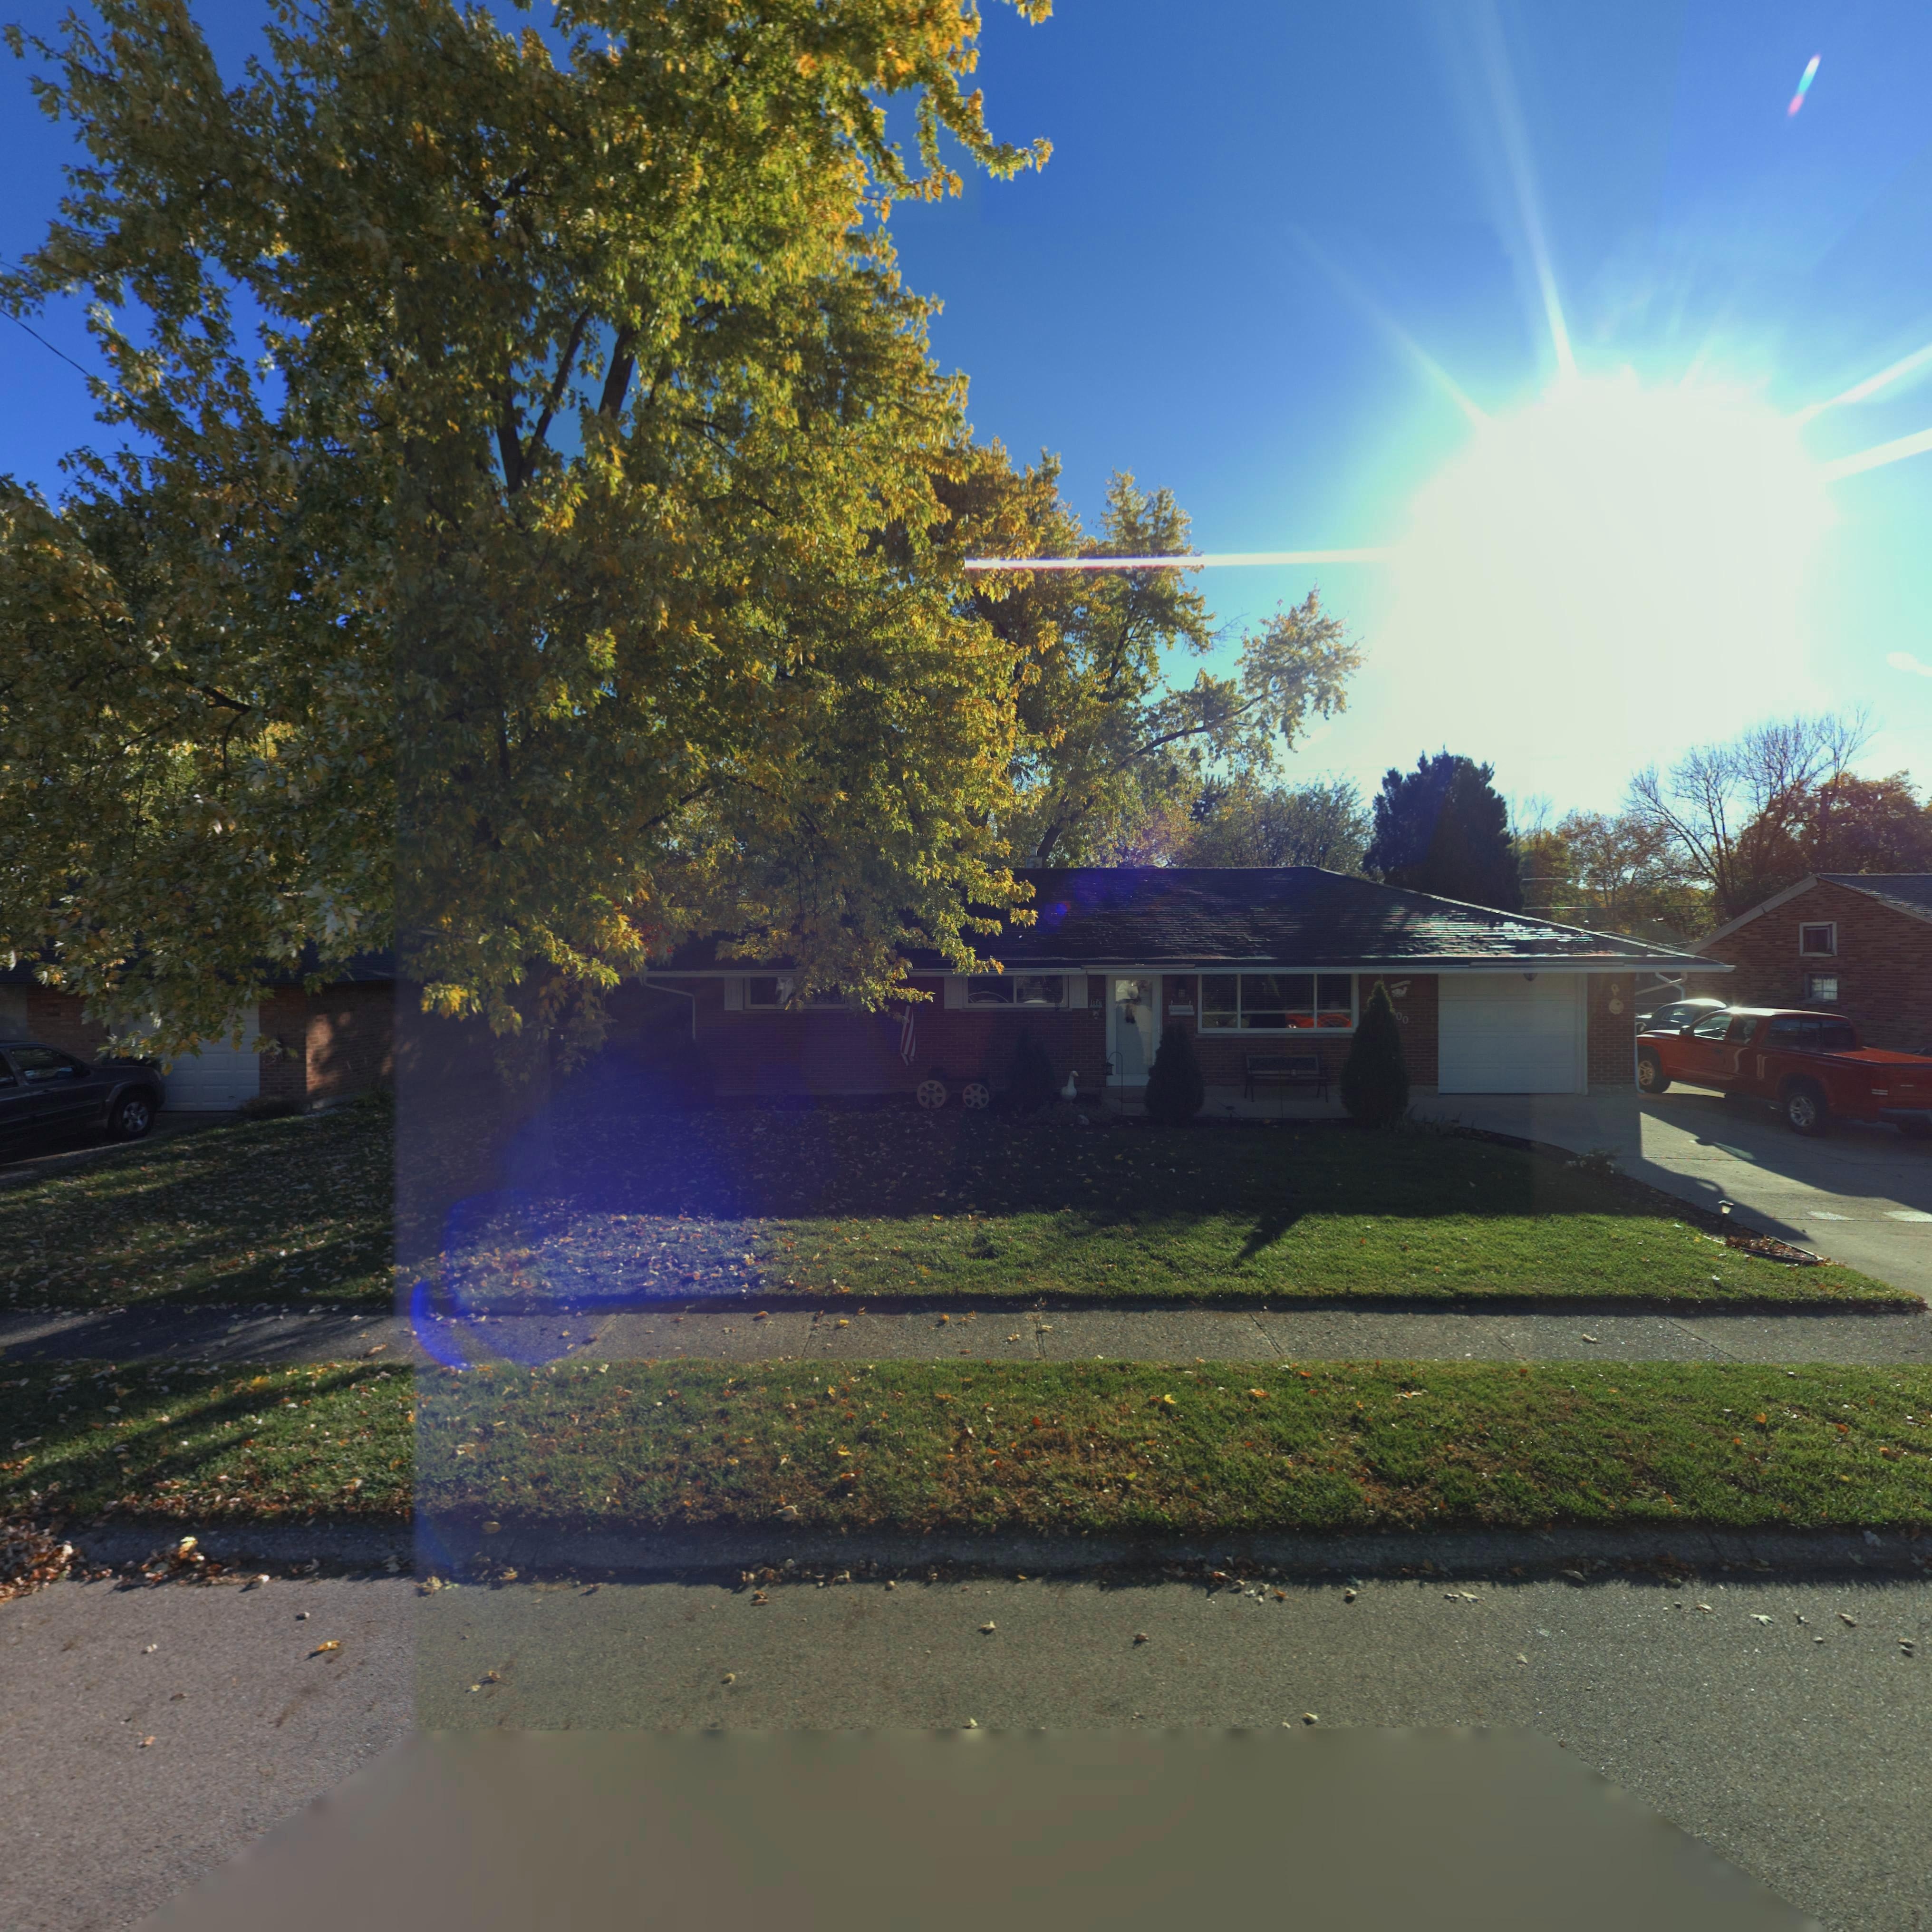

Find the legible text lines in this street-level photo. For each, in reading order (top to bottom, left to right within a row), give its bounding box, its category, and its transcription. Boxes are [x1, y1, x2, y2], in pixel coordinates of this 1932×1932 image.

[1395, 1009, 1410, 1025] StreetNumber: 00